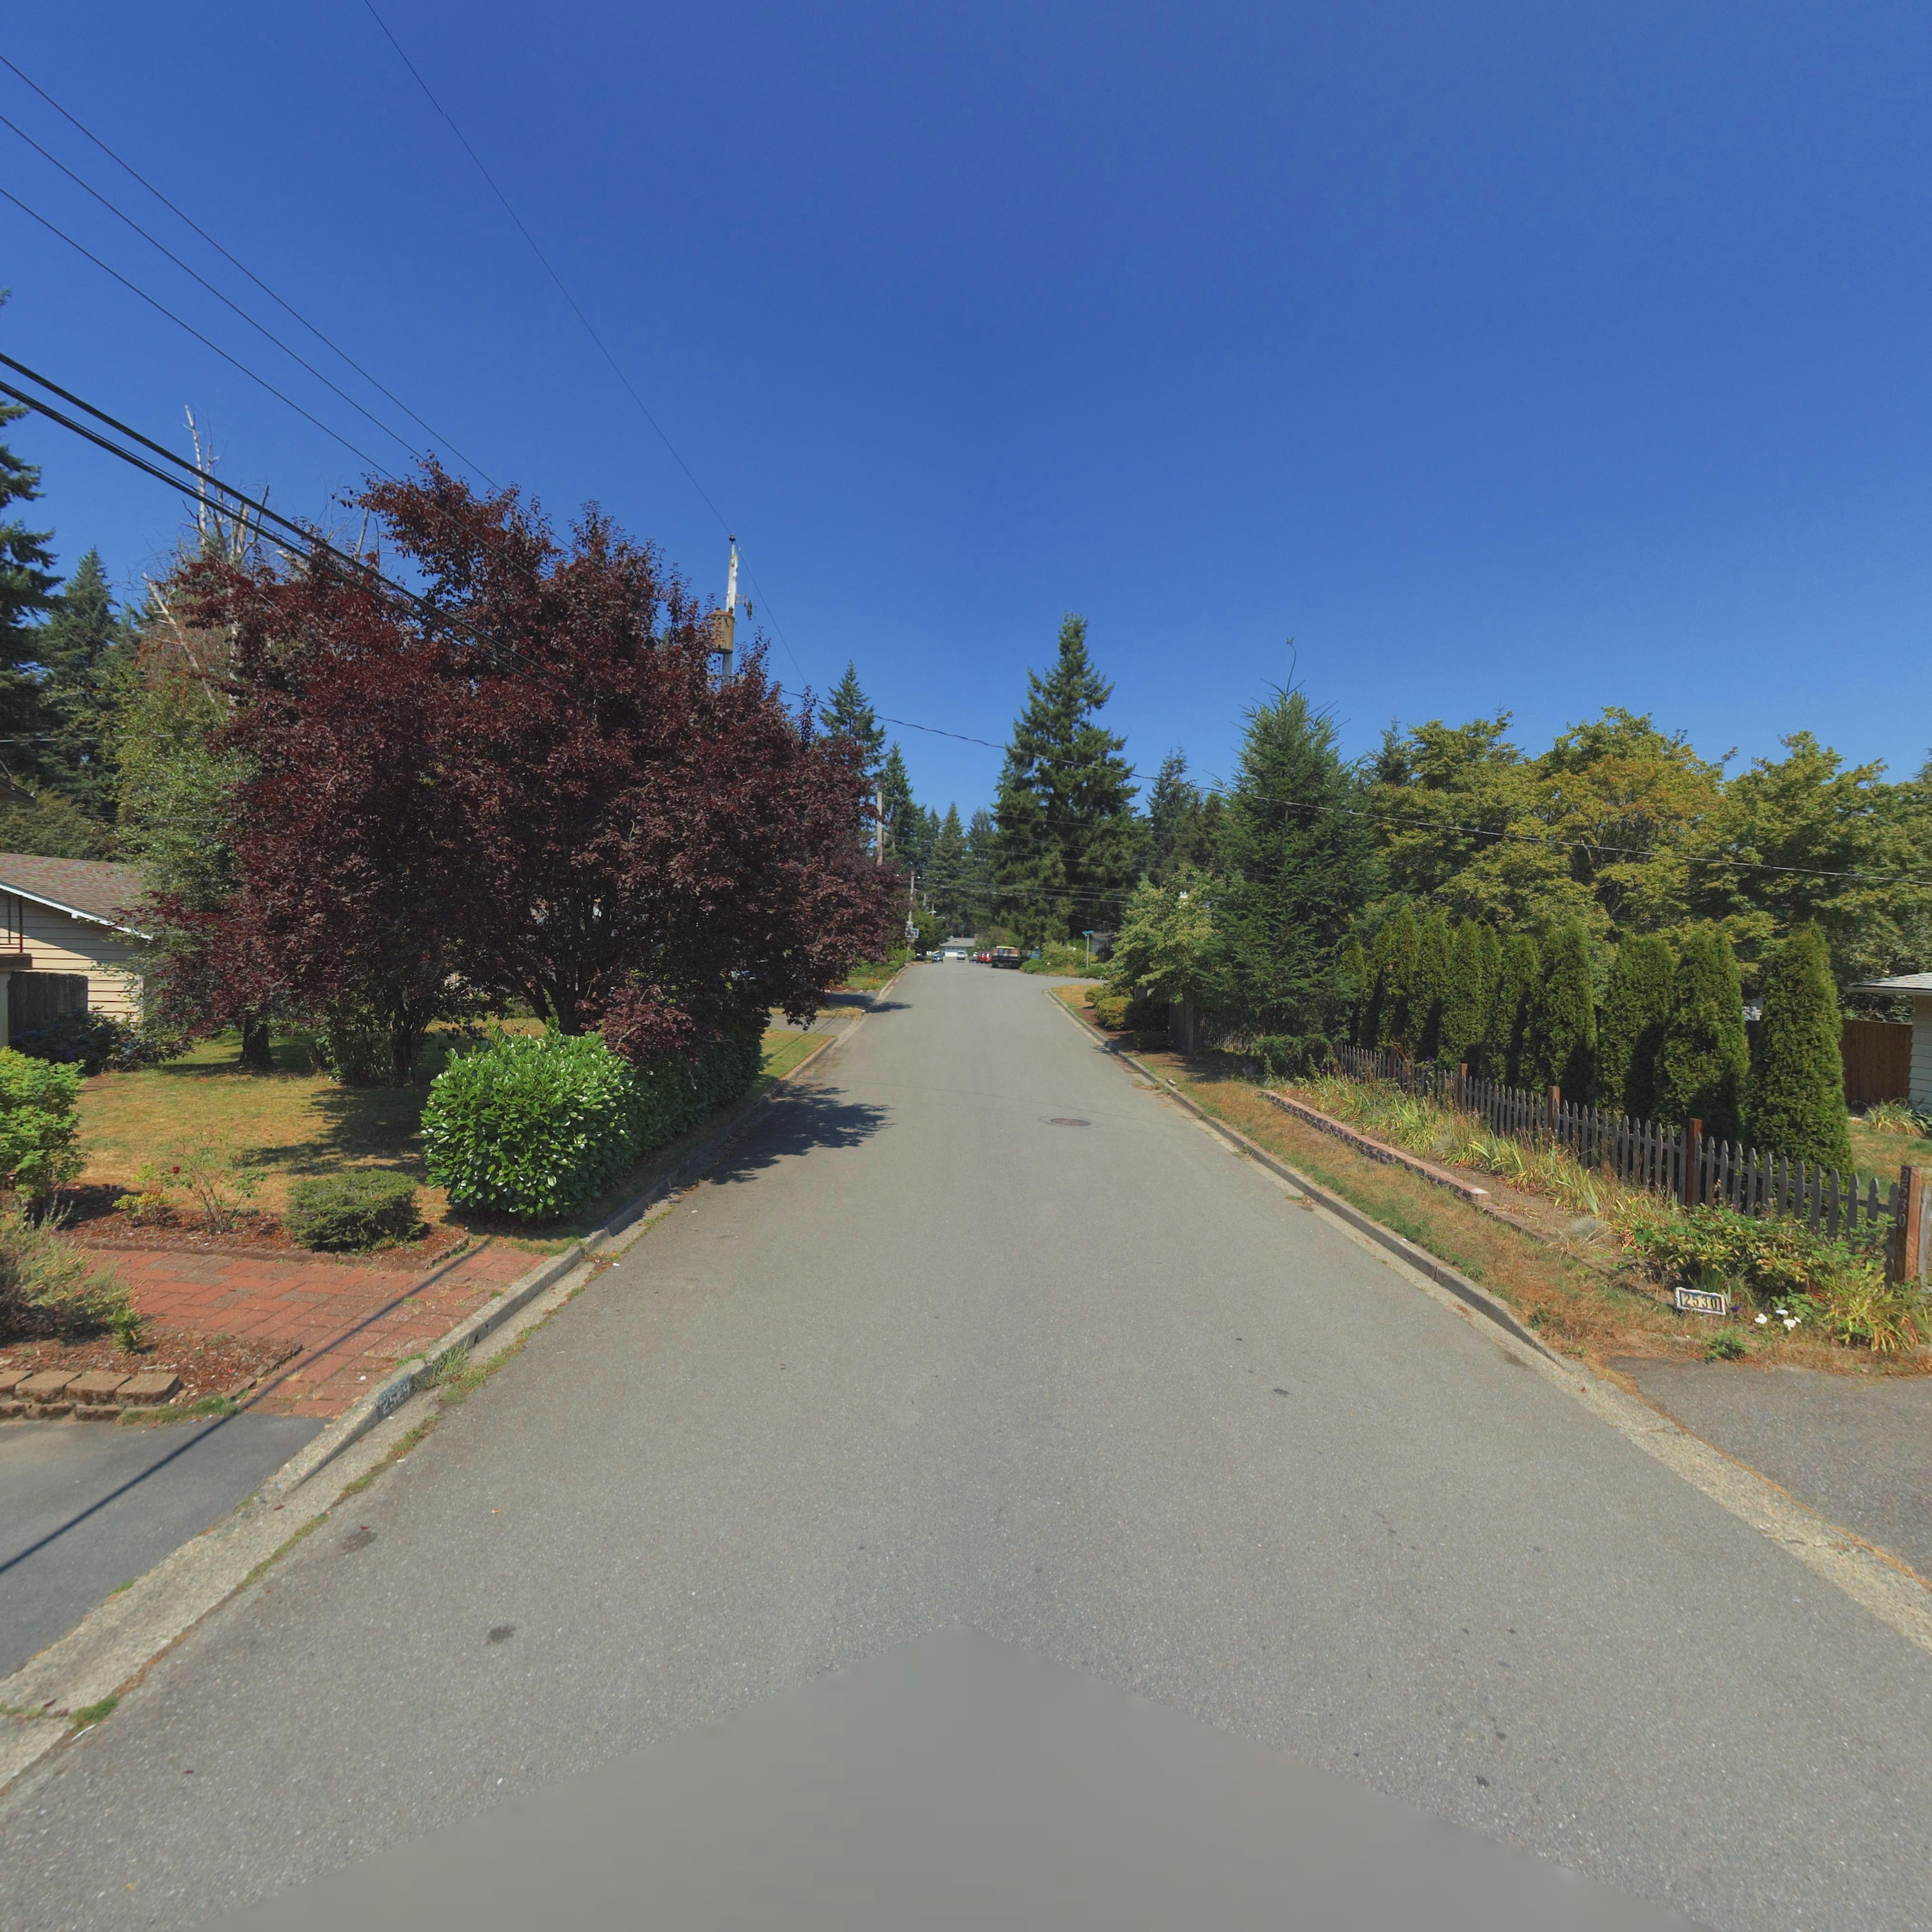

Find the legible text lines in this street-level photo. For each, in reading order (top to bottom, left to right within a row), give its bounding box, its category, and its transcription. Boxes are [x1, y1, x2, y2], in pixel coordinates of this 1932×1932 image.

[1683, 1291, 1718, 1310] StreetNumber: 2530